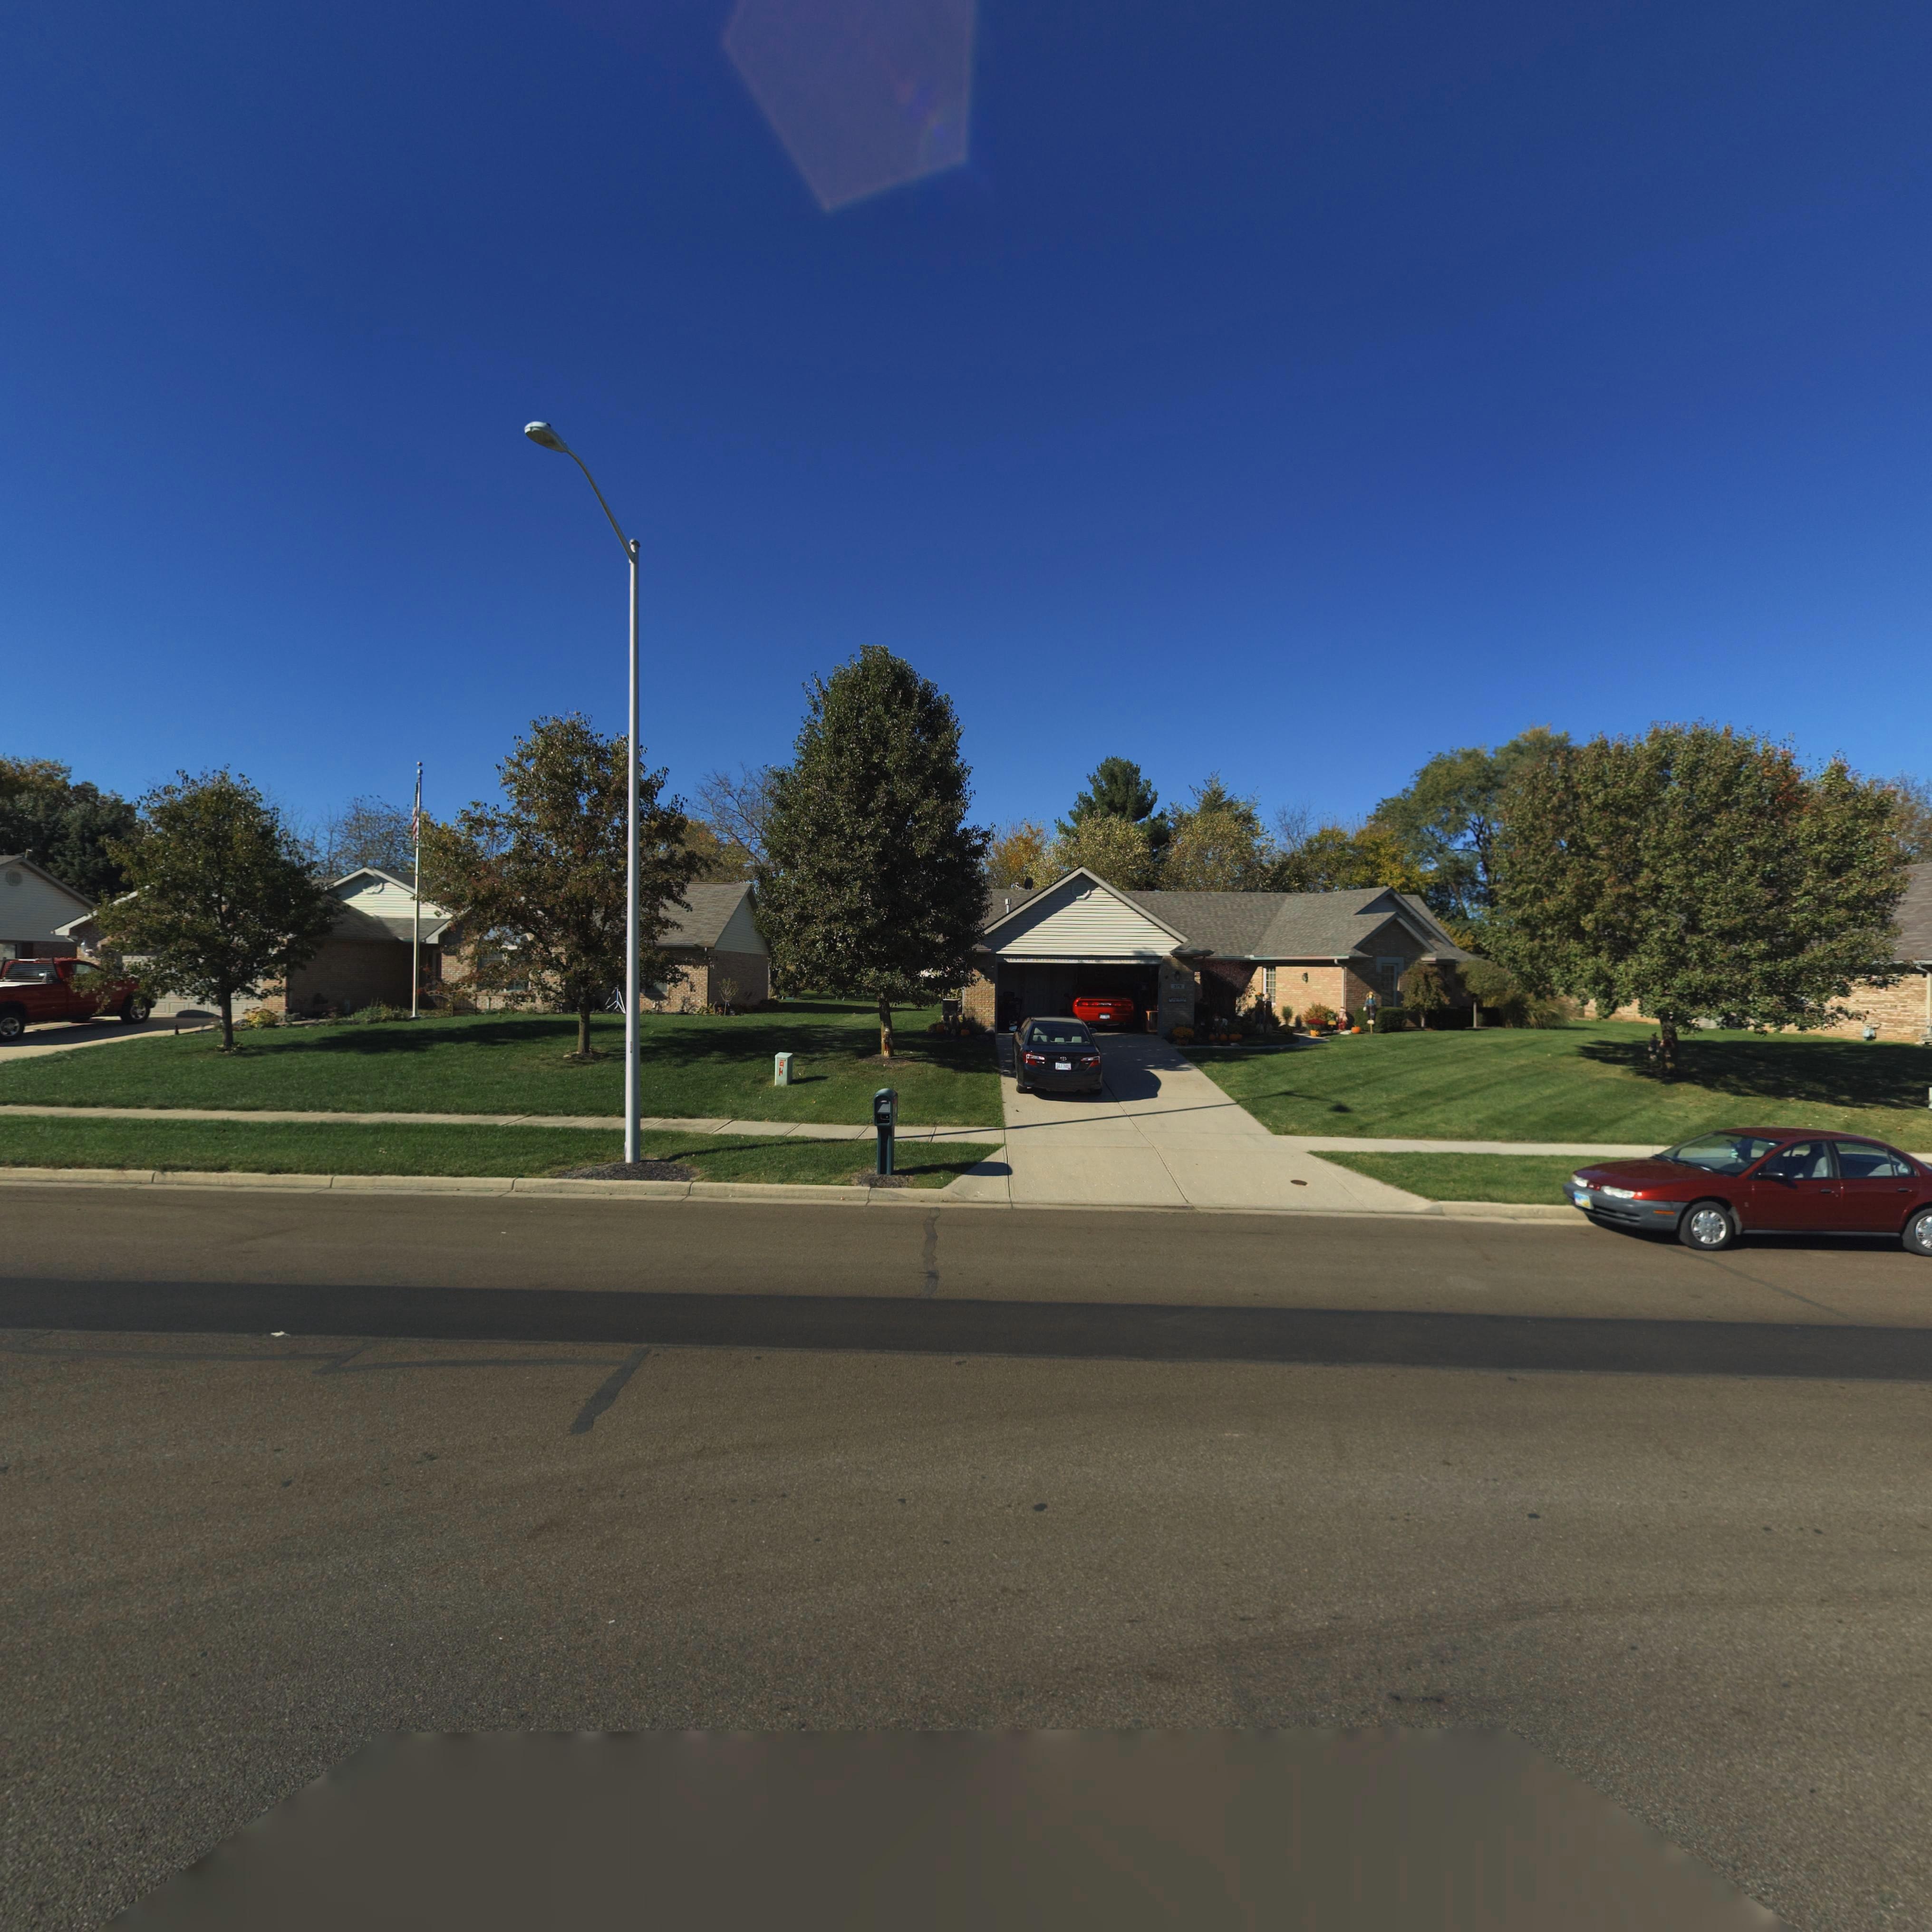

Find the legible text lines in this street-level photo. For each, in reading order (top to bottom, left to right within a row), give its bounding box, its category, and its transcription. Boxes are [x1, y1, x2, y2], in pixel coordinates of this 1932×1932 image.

[1173, 985, 1182, 988] StreetNumber: 37*